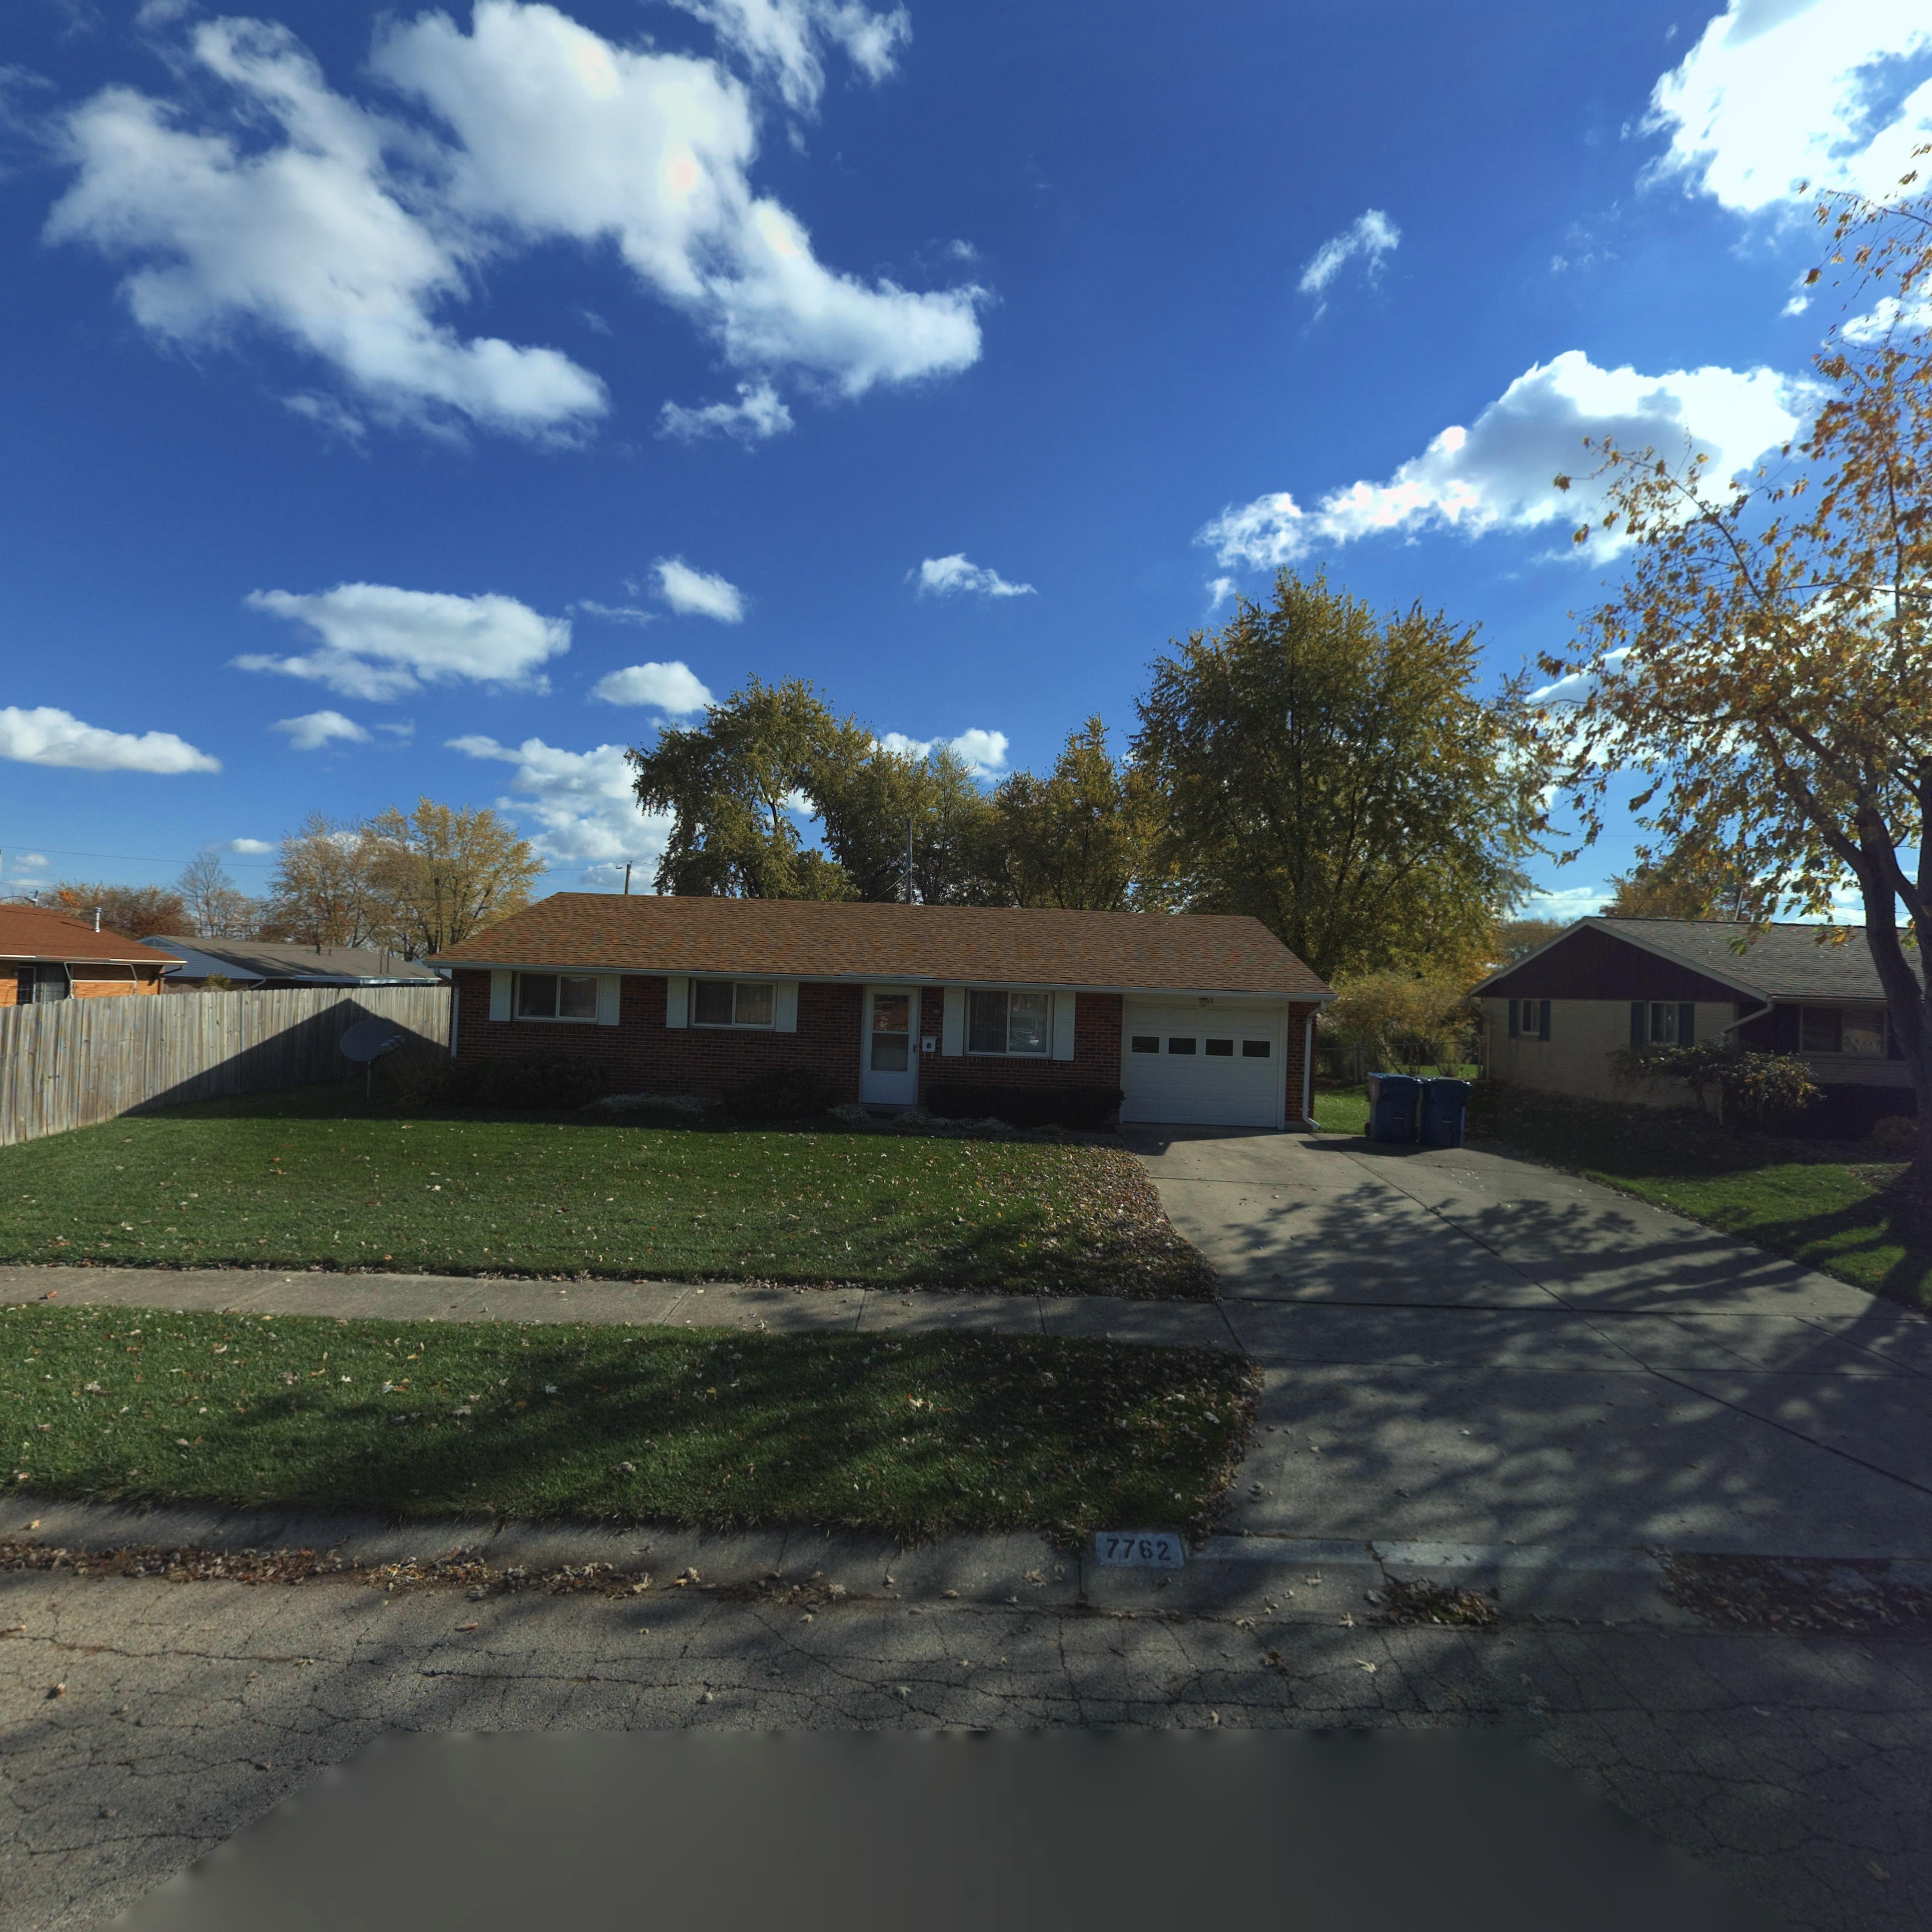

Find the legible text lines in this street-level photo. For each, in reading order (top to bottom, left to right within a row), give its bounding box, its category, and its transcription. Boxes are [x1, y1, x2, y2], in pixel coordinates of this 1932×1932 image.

[1209, 997, 1215, 1004] StreetNumber: 2
[1105, 1536, 1173, 1562] StreetNumber: 7762